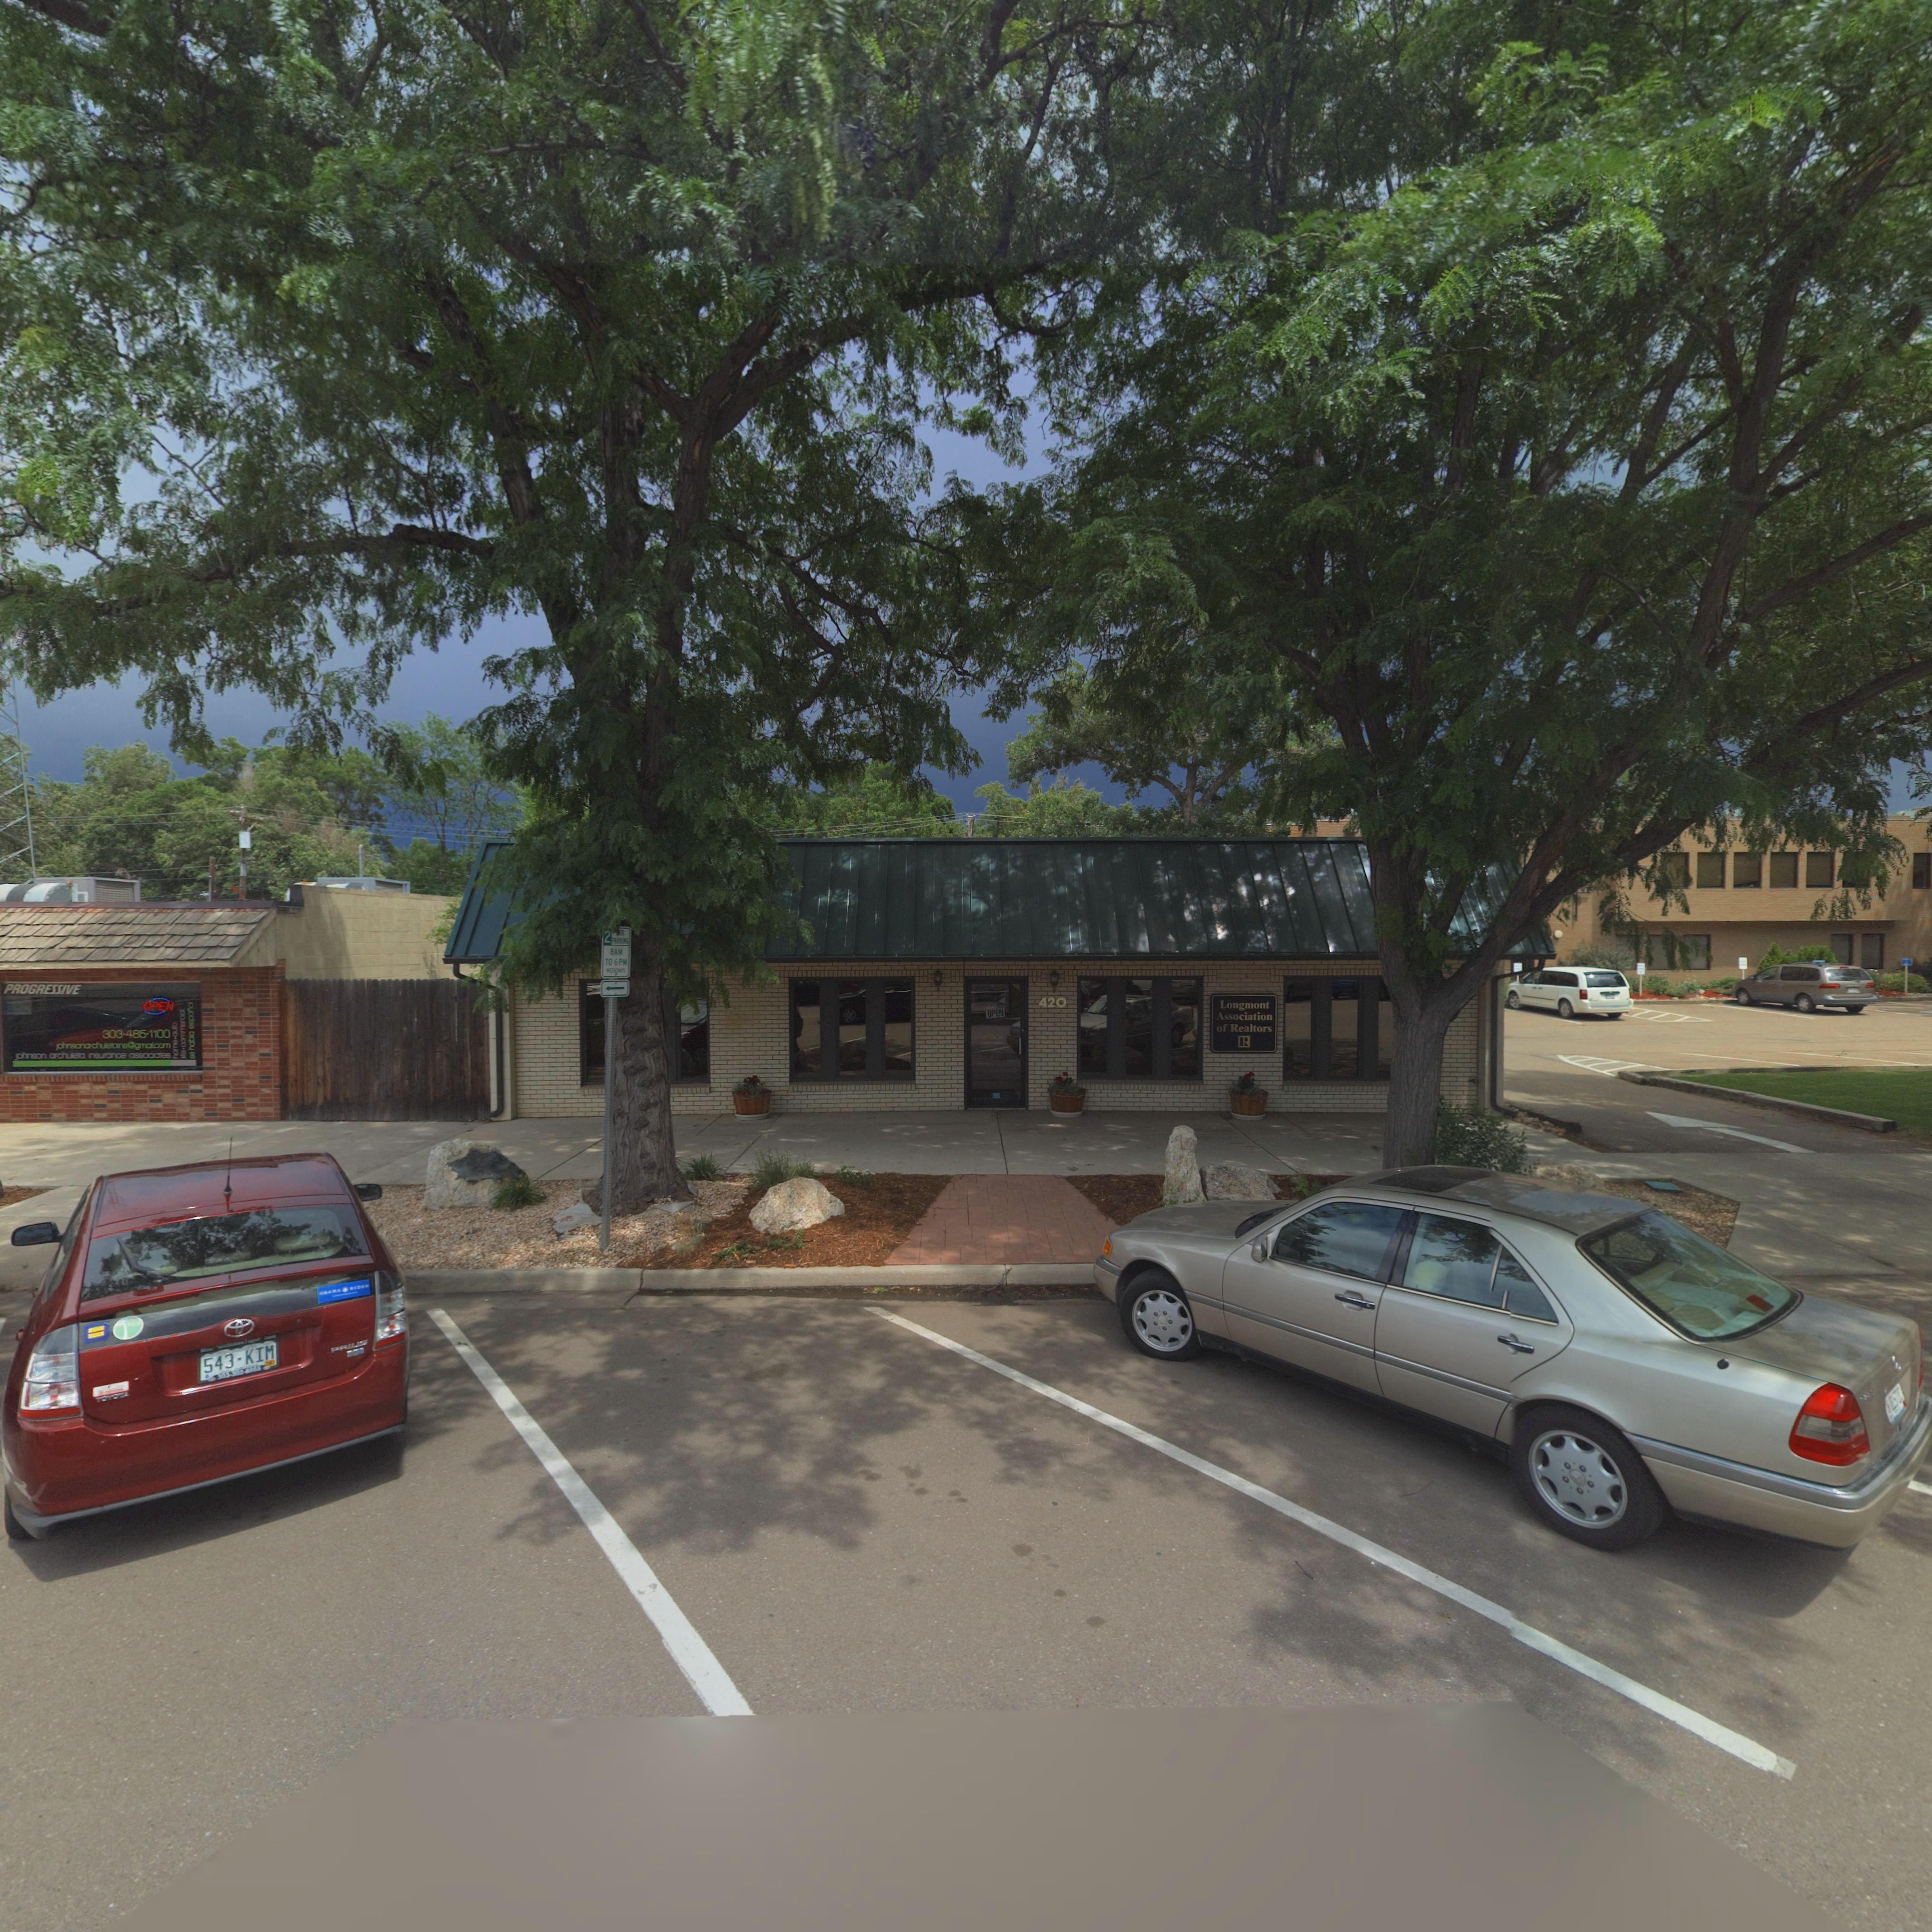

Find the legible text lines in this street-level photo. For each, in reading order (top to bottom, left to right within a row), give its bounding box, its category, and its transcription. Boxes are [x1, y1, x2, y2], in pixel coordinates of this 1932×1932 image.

[1037, 996, 1067, 1008] StreetNumber: 420
[1219, 999, 1270, 1011] BusinessName: Longmont
[1216, 1011, 1273, 1021] BusinessName: Association
[1216, 1023, 1273, 1033] BusinessName: of Realtors
[12, 1051, 173, 1060] BusinessName: johnson archuleta insurance associates